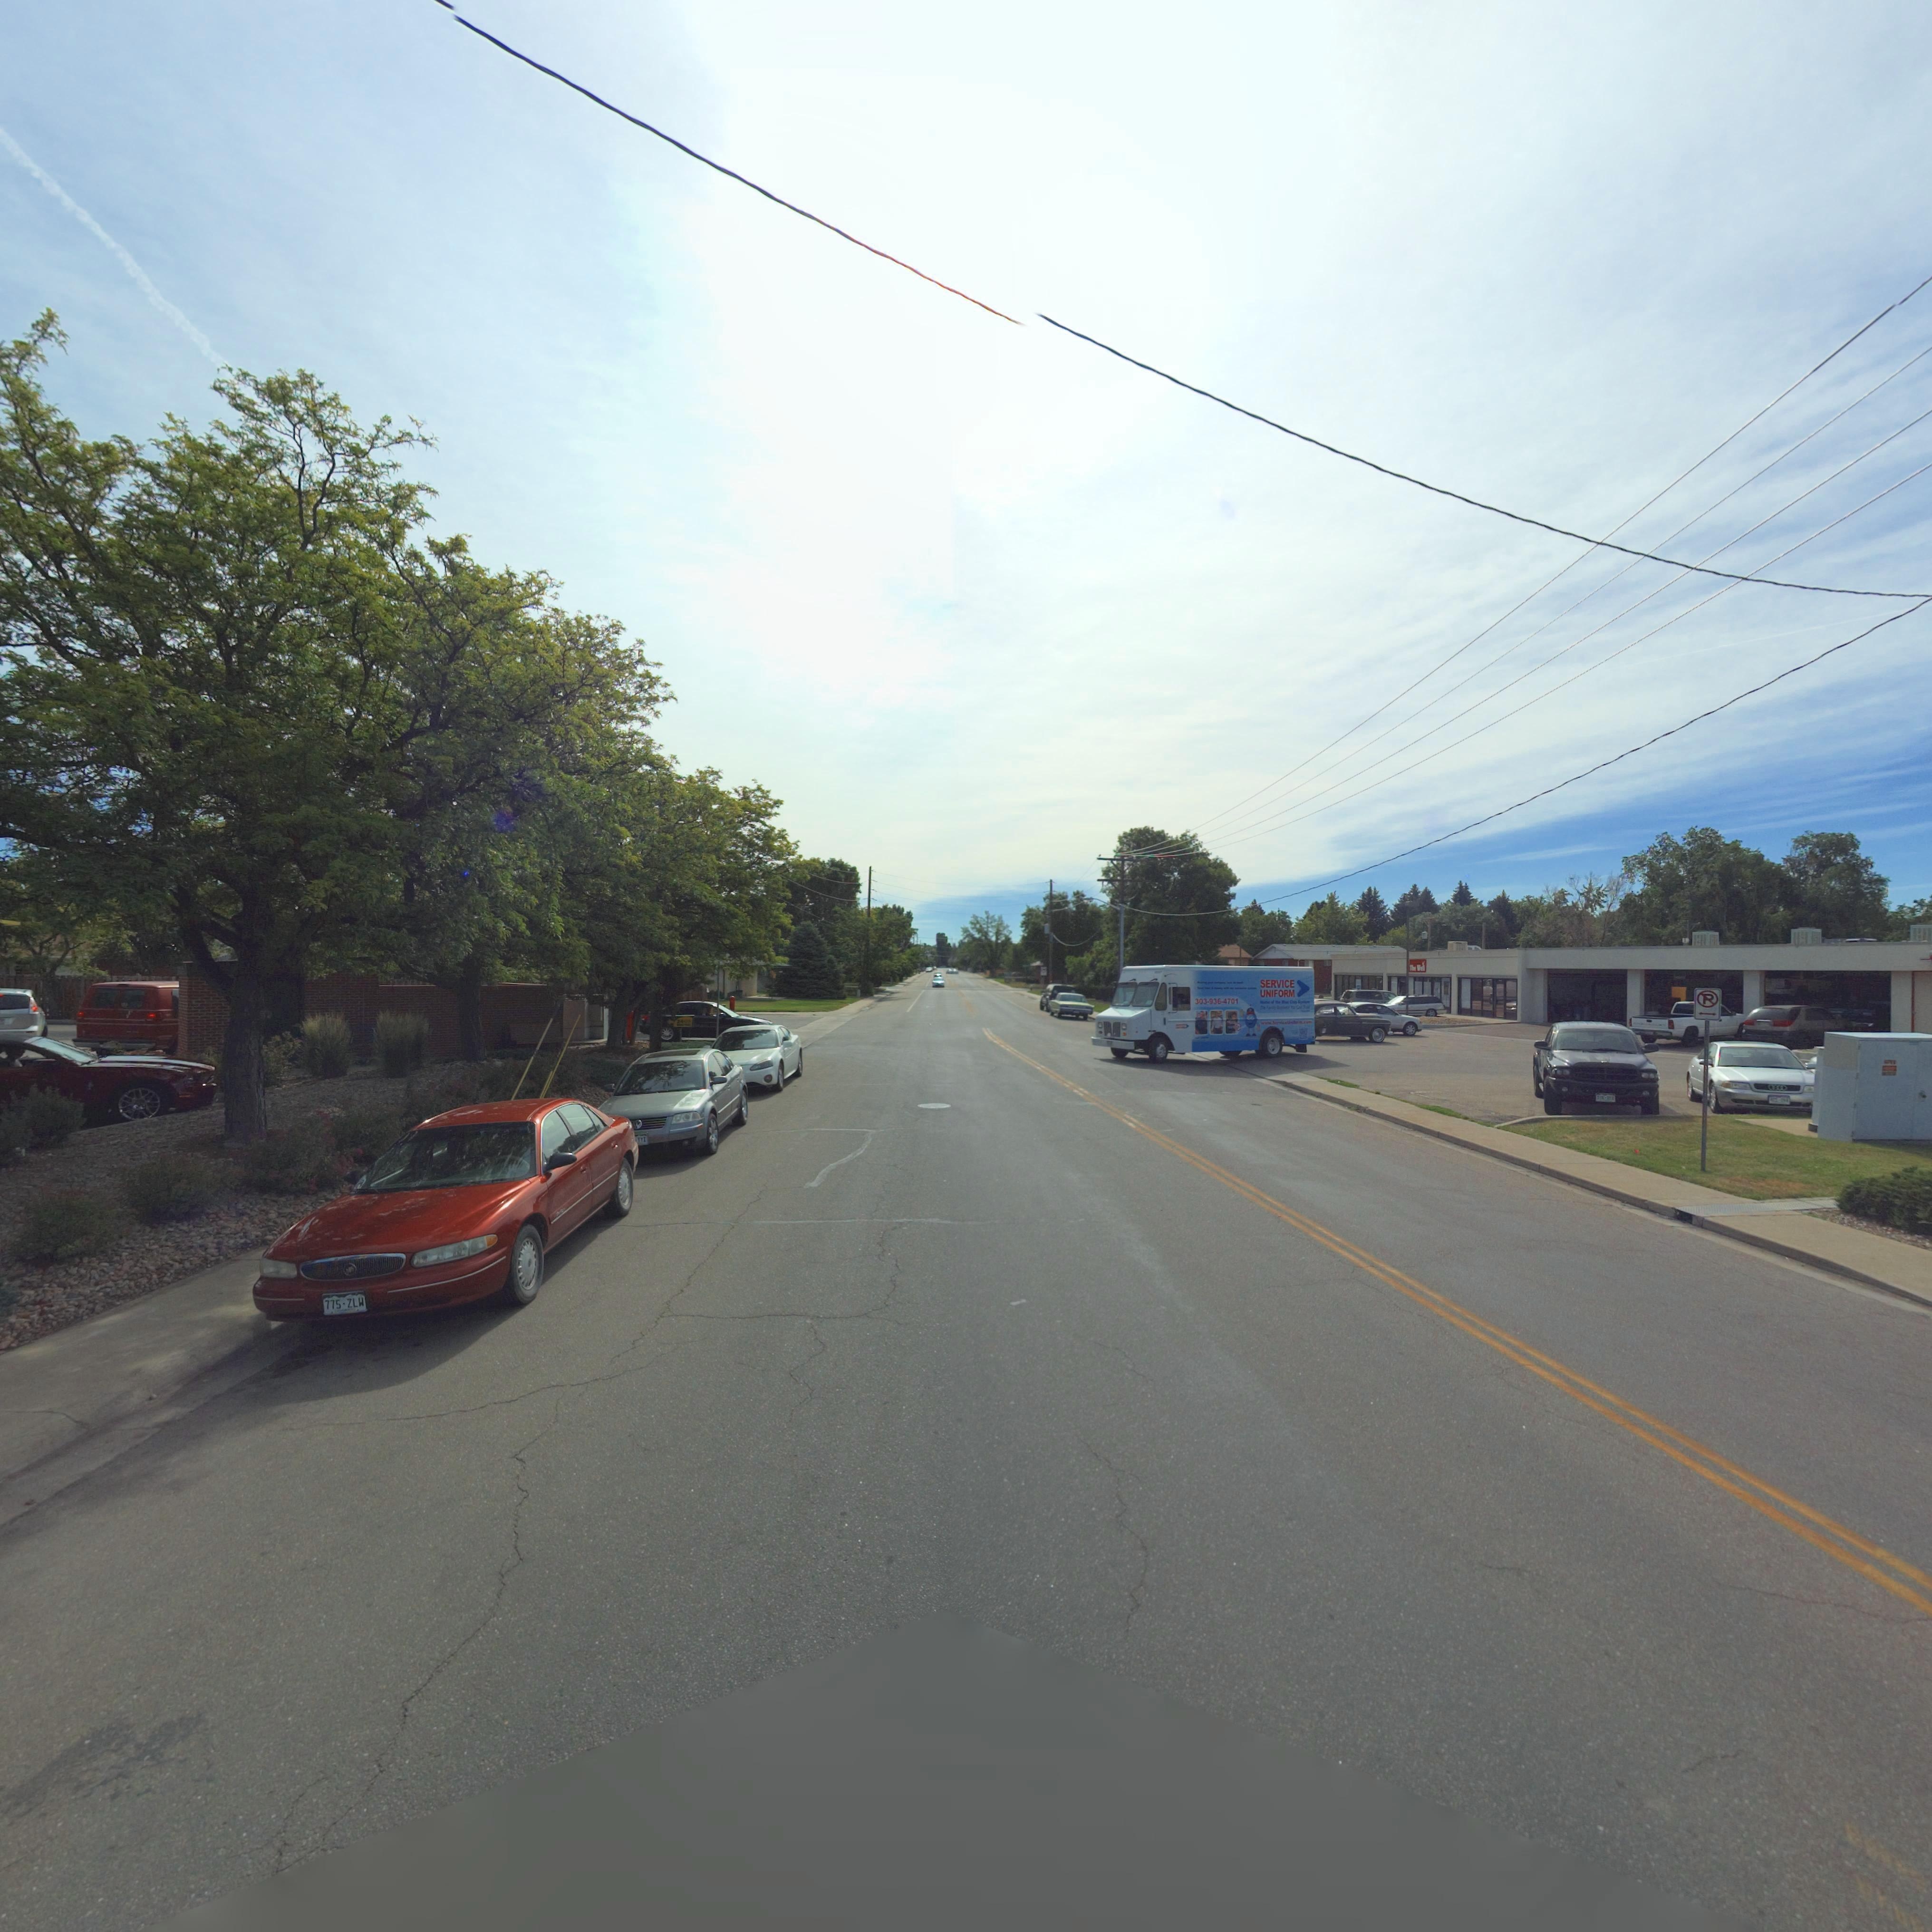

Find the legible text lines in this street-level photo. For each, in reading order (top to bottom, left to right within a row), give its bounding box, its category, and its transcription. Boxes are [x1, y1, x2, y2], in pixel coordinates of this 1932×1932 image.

[1409, 964, 1425, 971] BusinessName: The Well